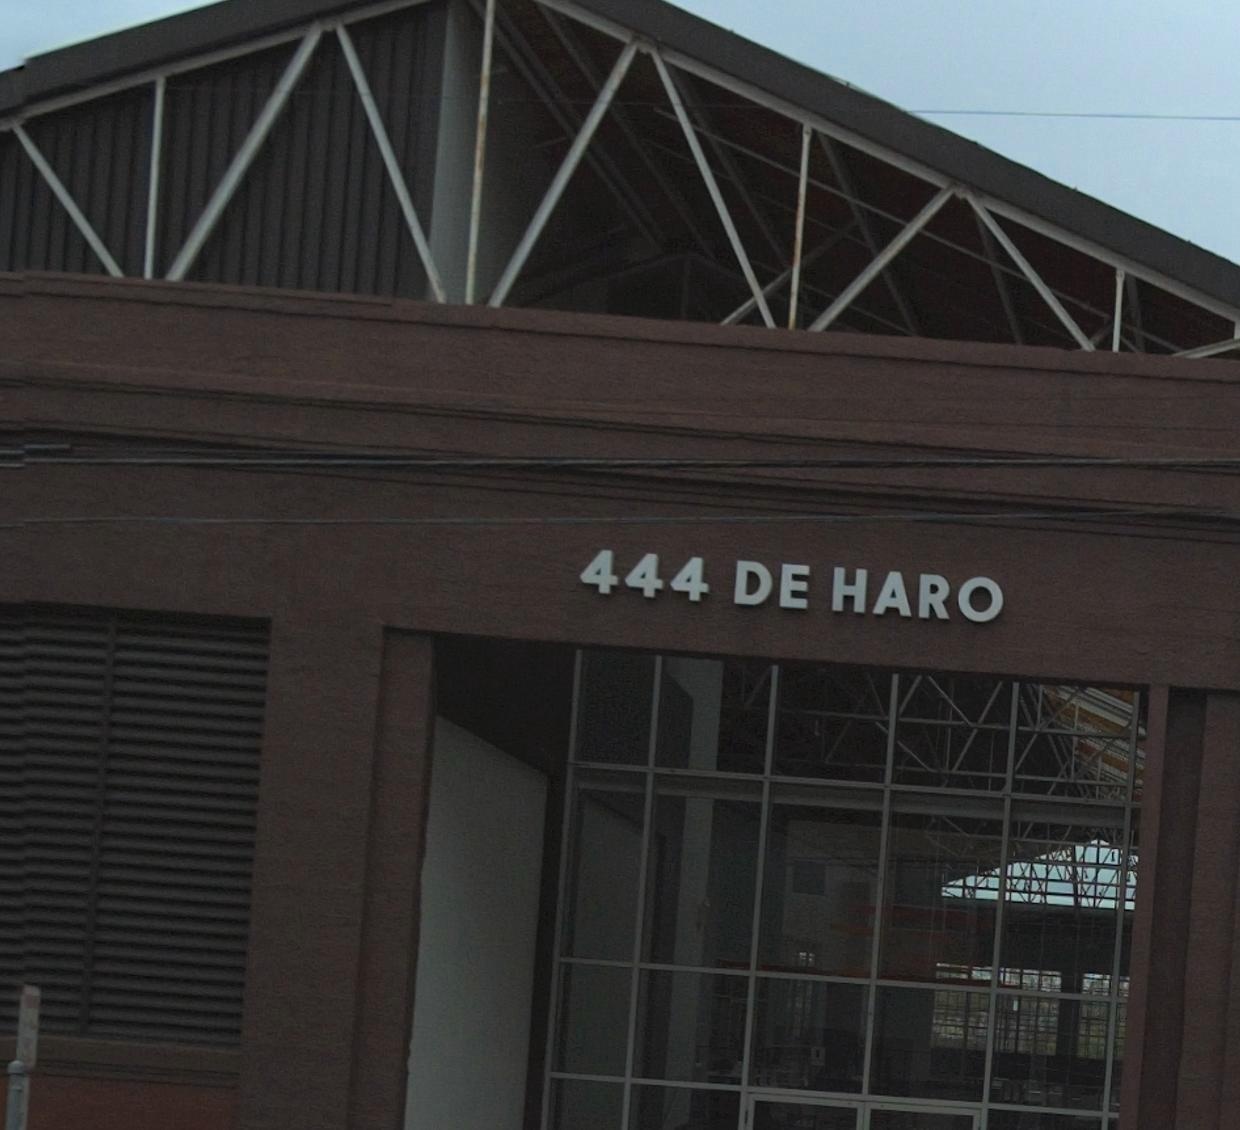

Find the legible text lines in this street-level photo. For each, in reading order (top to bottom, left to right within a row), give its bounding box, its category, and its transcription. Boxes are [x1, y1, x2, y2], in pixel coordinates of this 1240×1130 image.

[573, 548, 711, 604] StreetNumber: 444
[731, 556, 1008, 626] StreetName: DE HARO